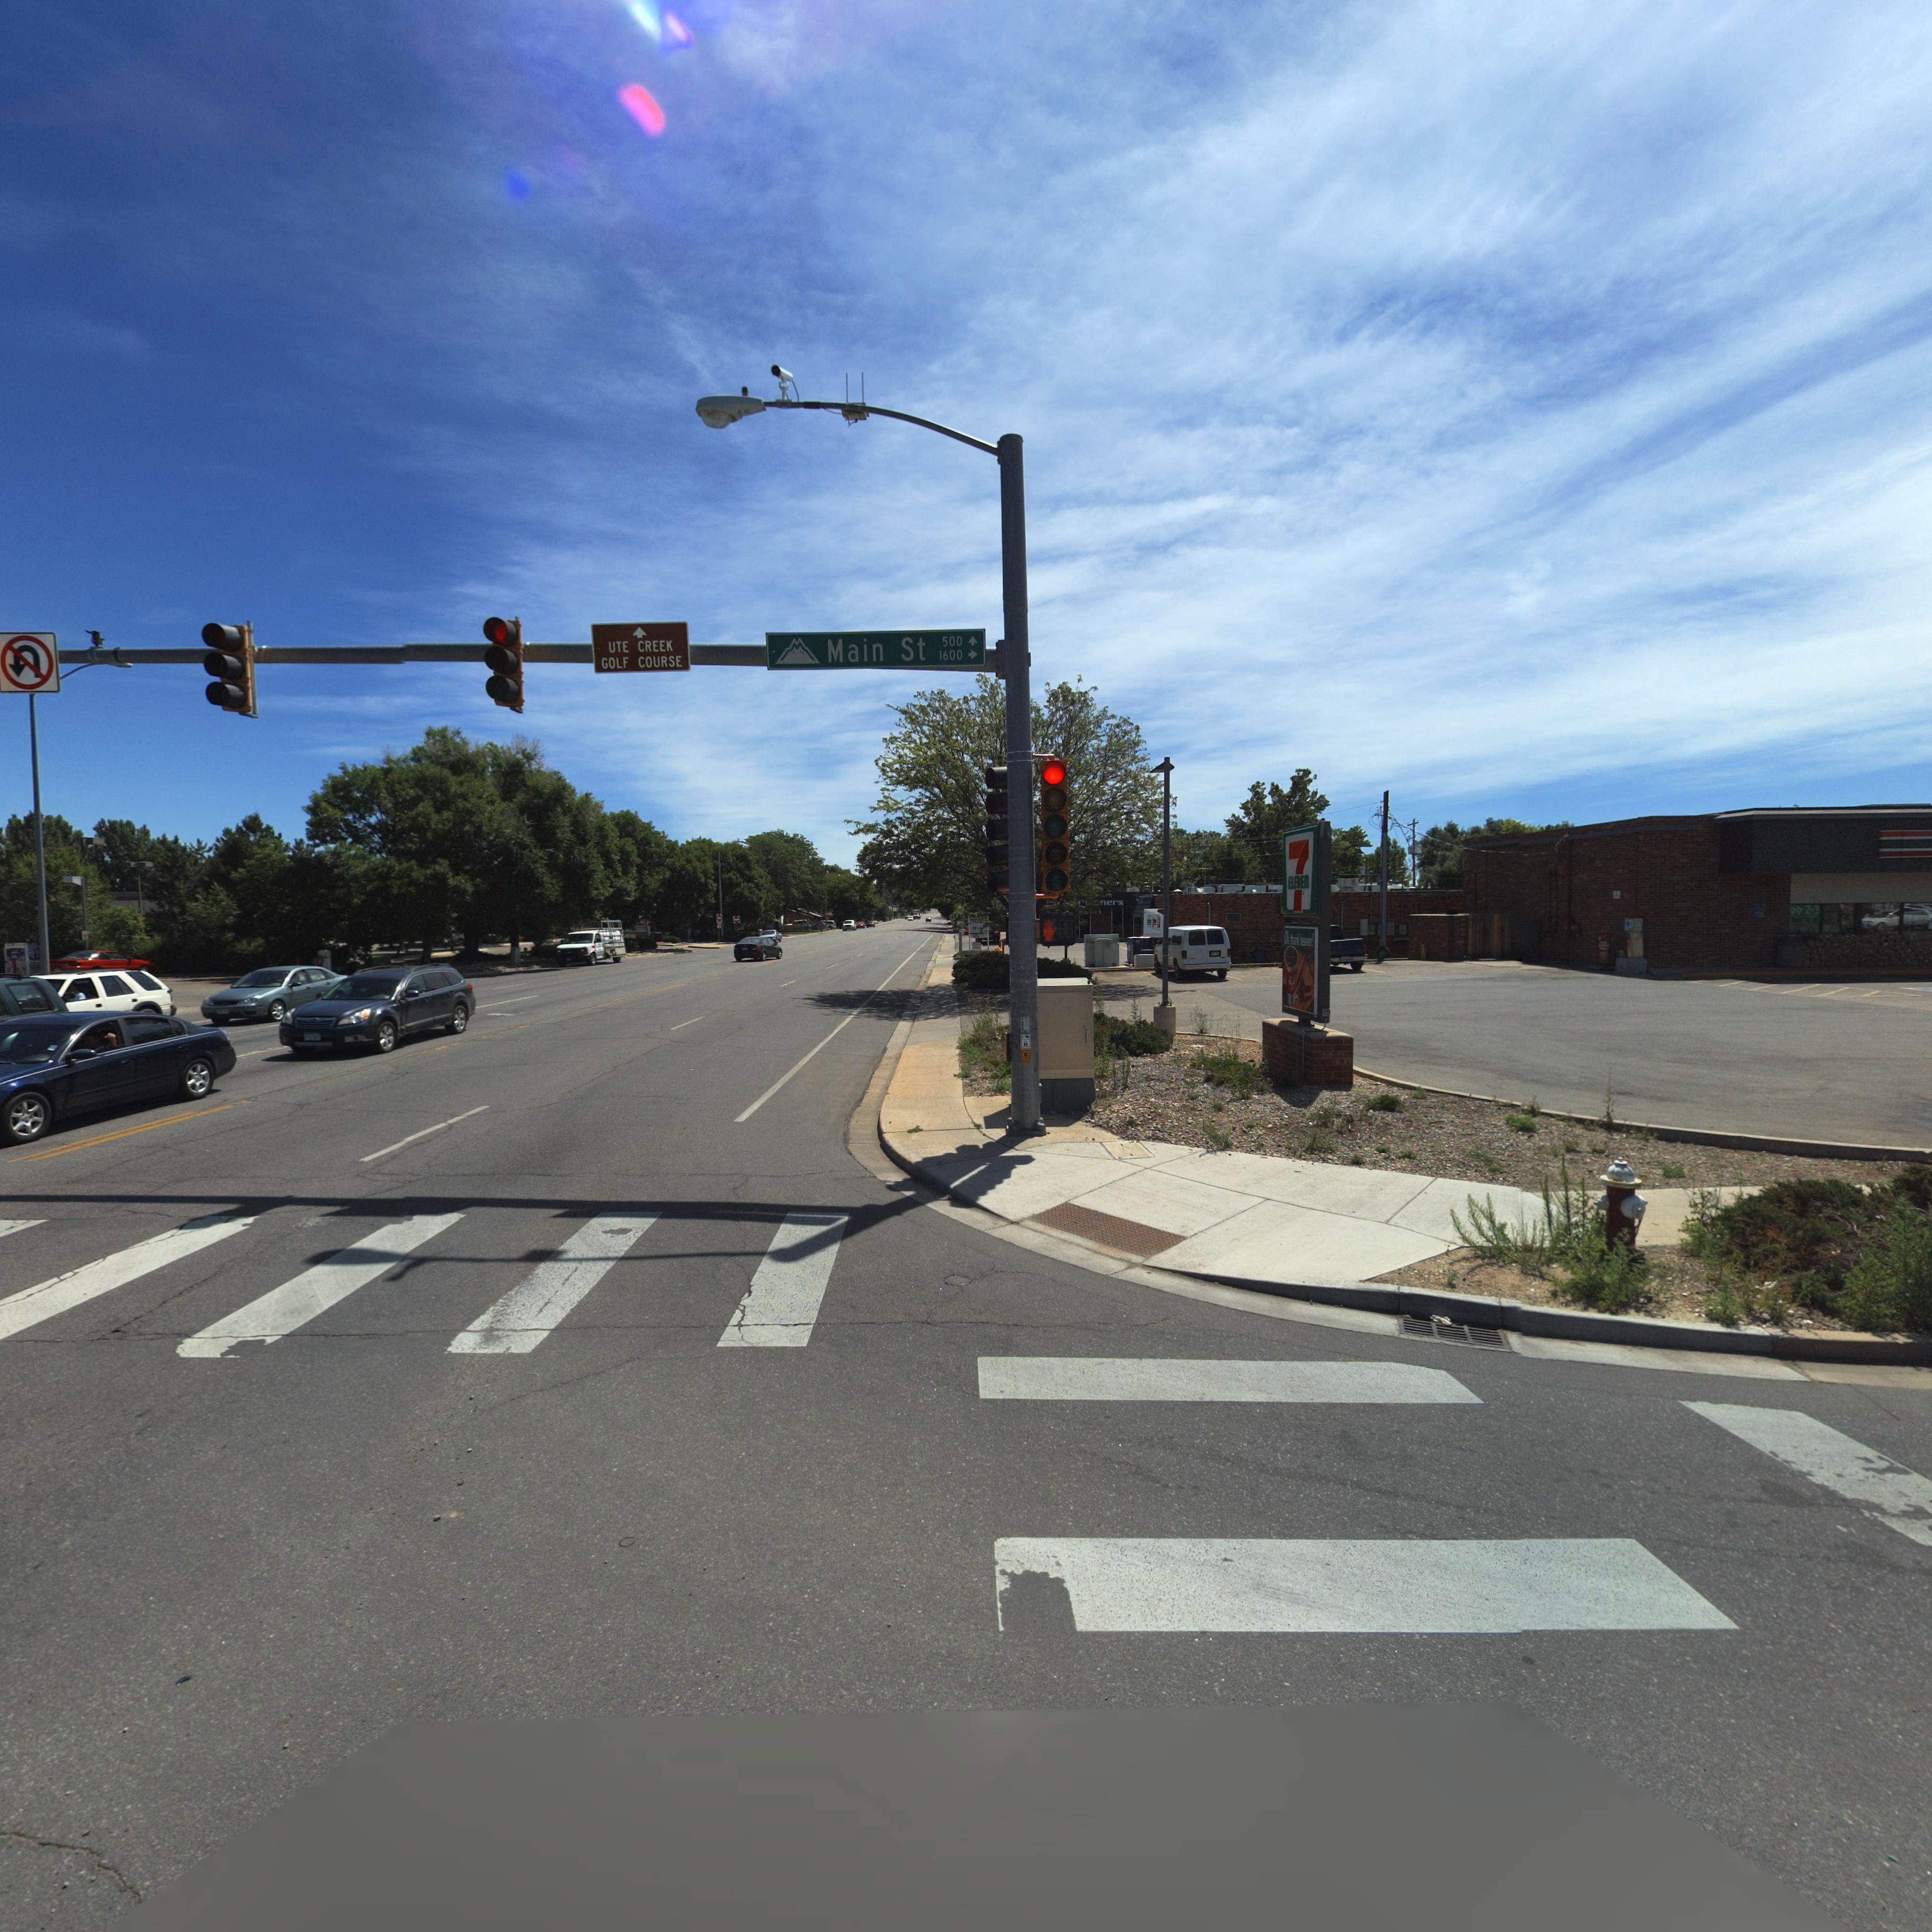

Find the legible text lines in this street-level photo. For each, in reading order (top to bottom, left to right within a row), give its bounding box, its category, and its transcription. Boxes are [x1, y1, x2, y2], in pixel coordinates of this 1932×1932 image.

[942, 635, 962, 647] StreetNumberRange: 500
[827, 637, 926, 663] StreetName: Main St
[939, 649, 978, 660] StreetNumberRange: 1600->
[1287, 873, 1309, 889] BusinessName: ELEVEn
[1288, 838, 1309, 913] BusinessName: 7
[1077, 898, 1123, 908] BusinessName: C***ners